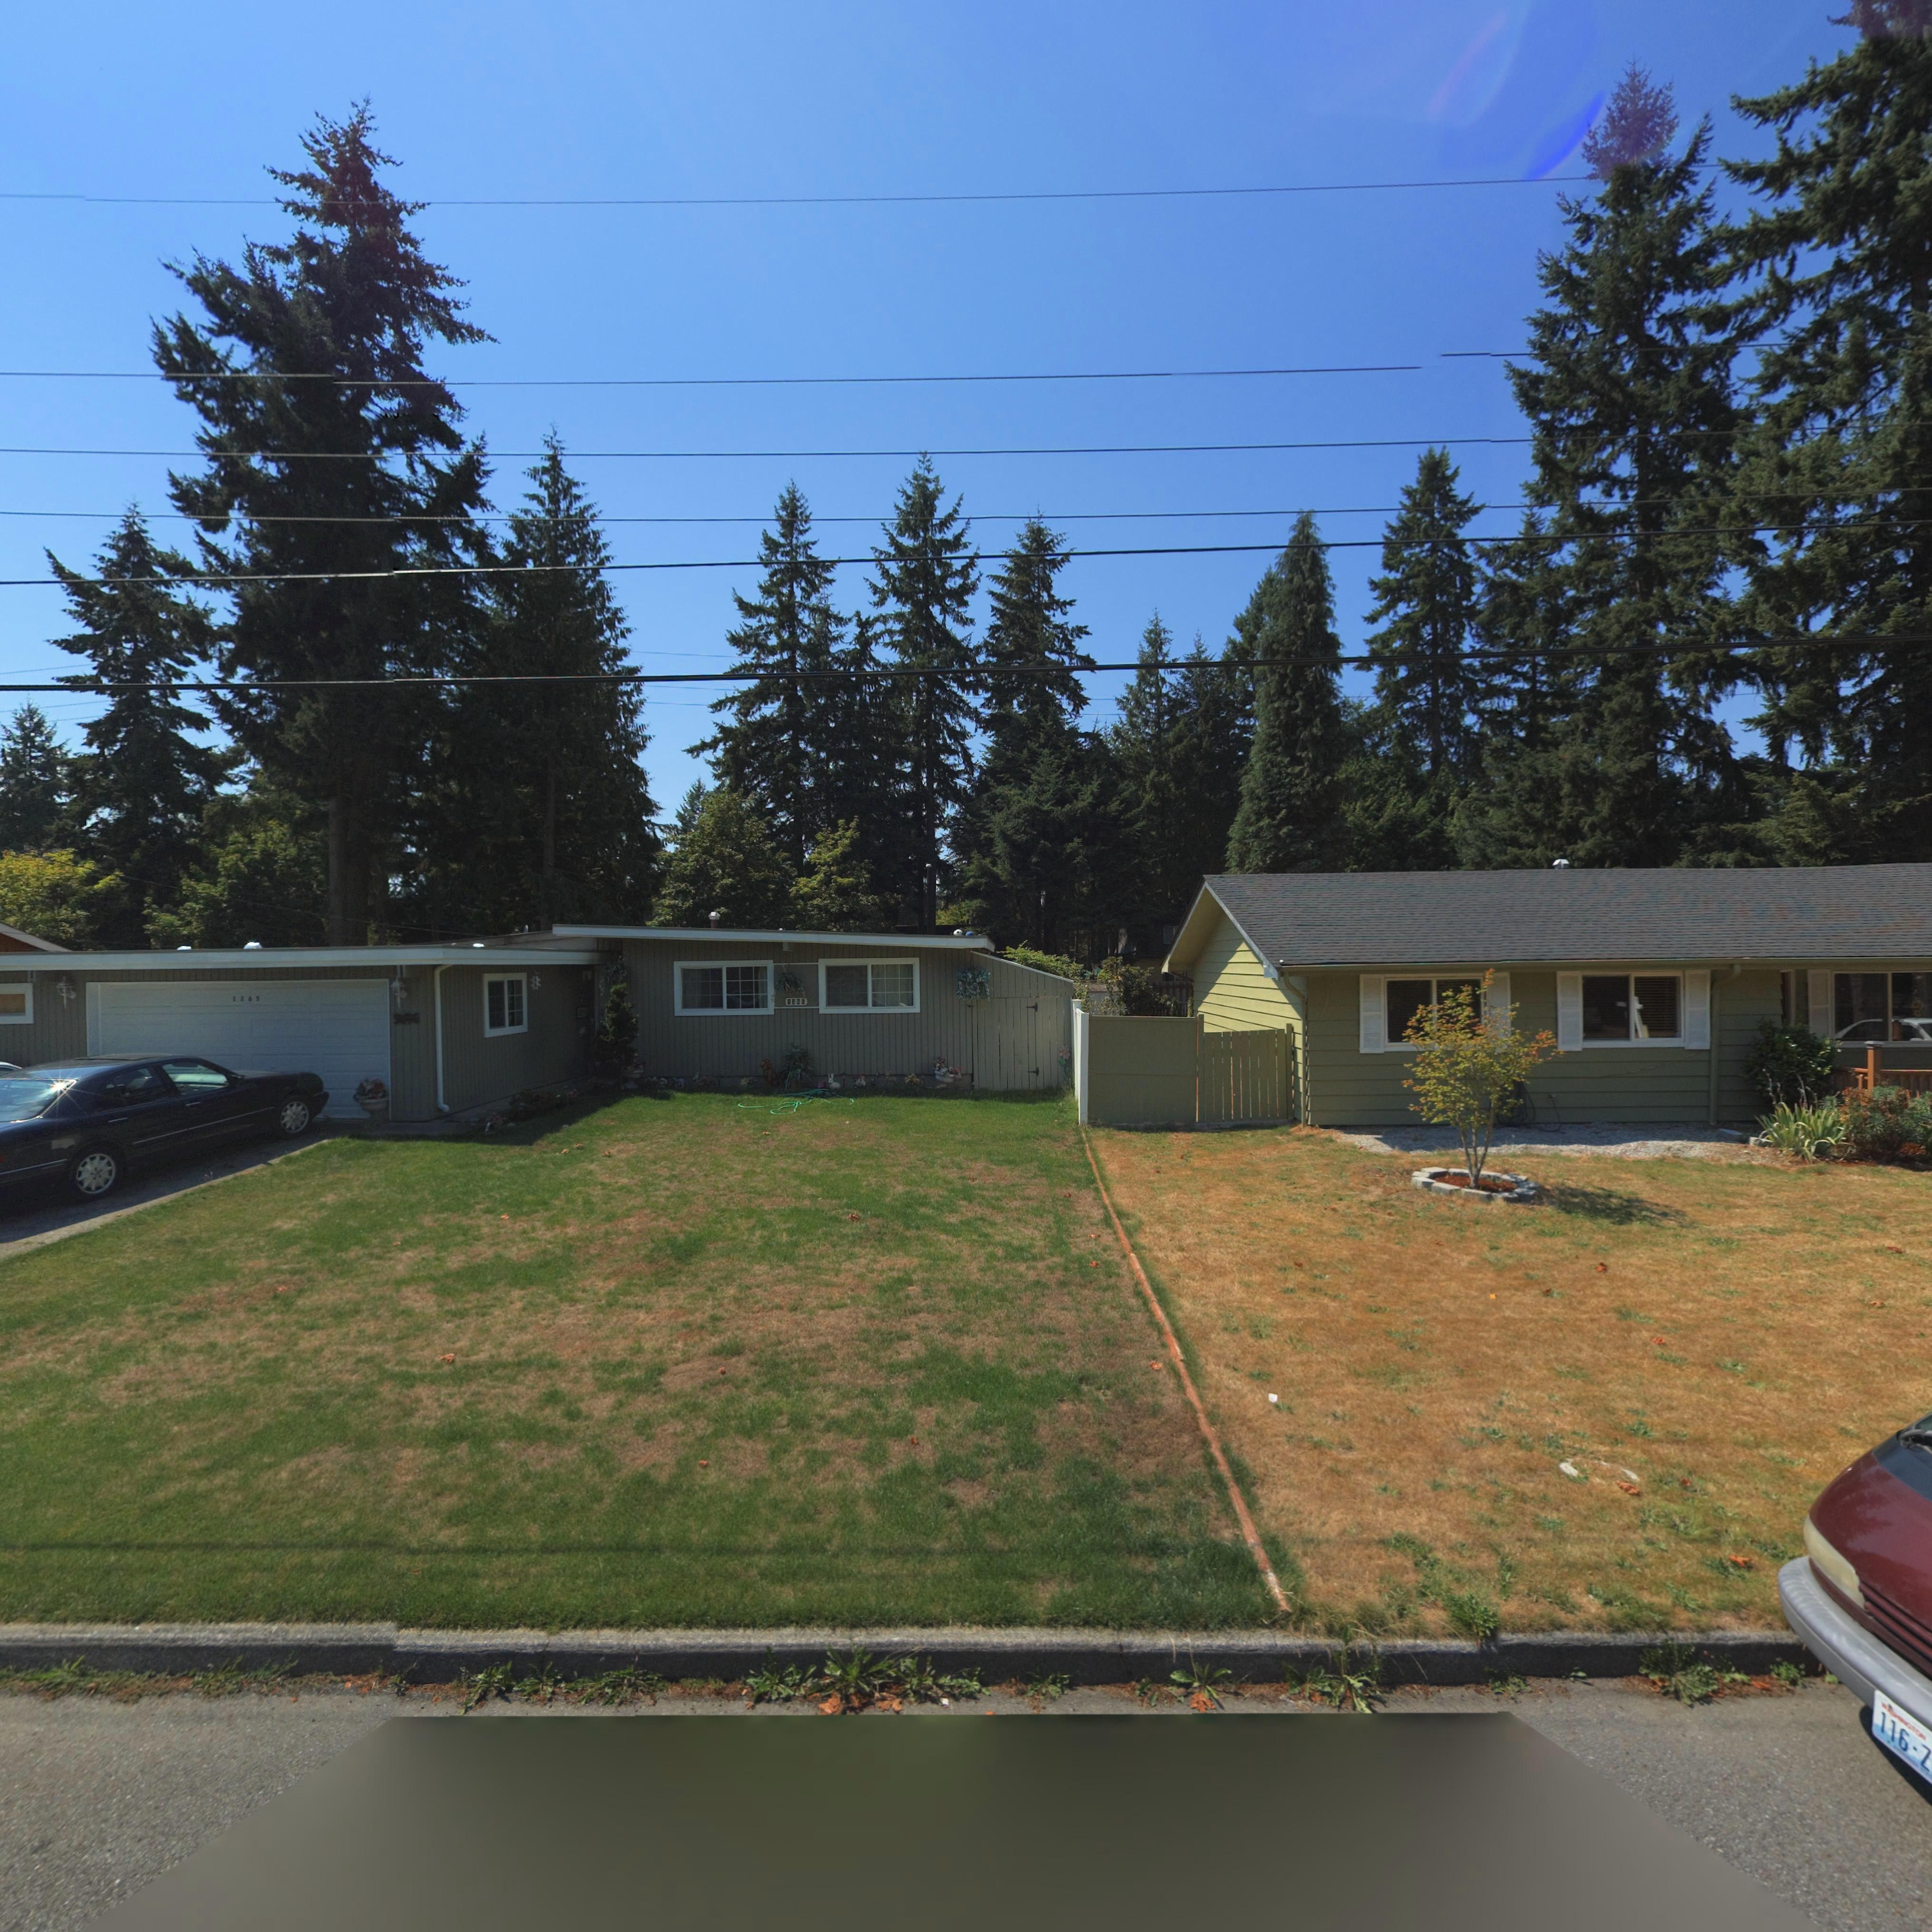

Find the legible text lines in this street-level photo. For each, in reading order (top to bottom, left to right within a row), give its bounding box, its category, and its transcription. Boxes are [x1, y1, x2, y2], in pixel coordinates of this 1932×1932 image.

[233, 995, 259, 1001] StreetNumber: 1365